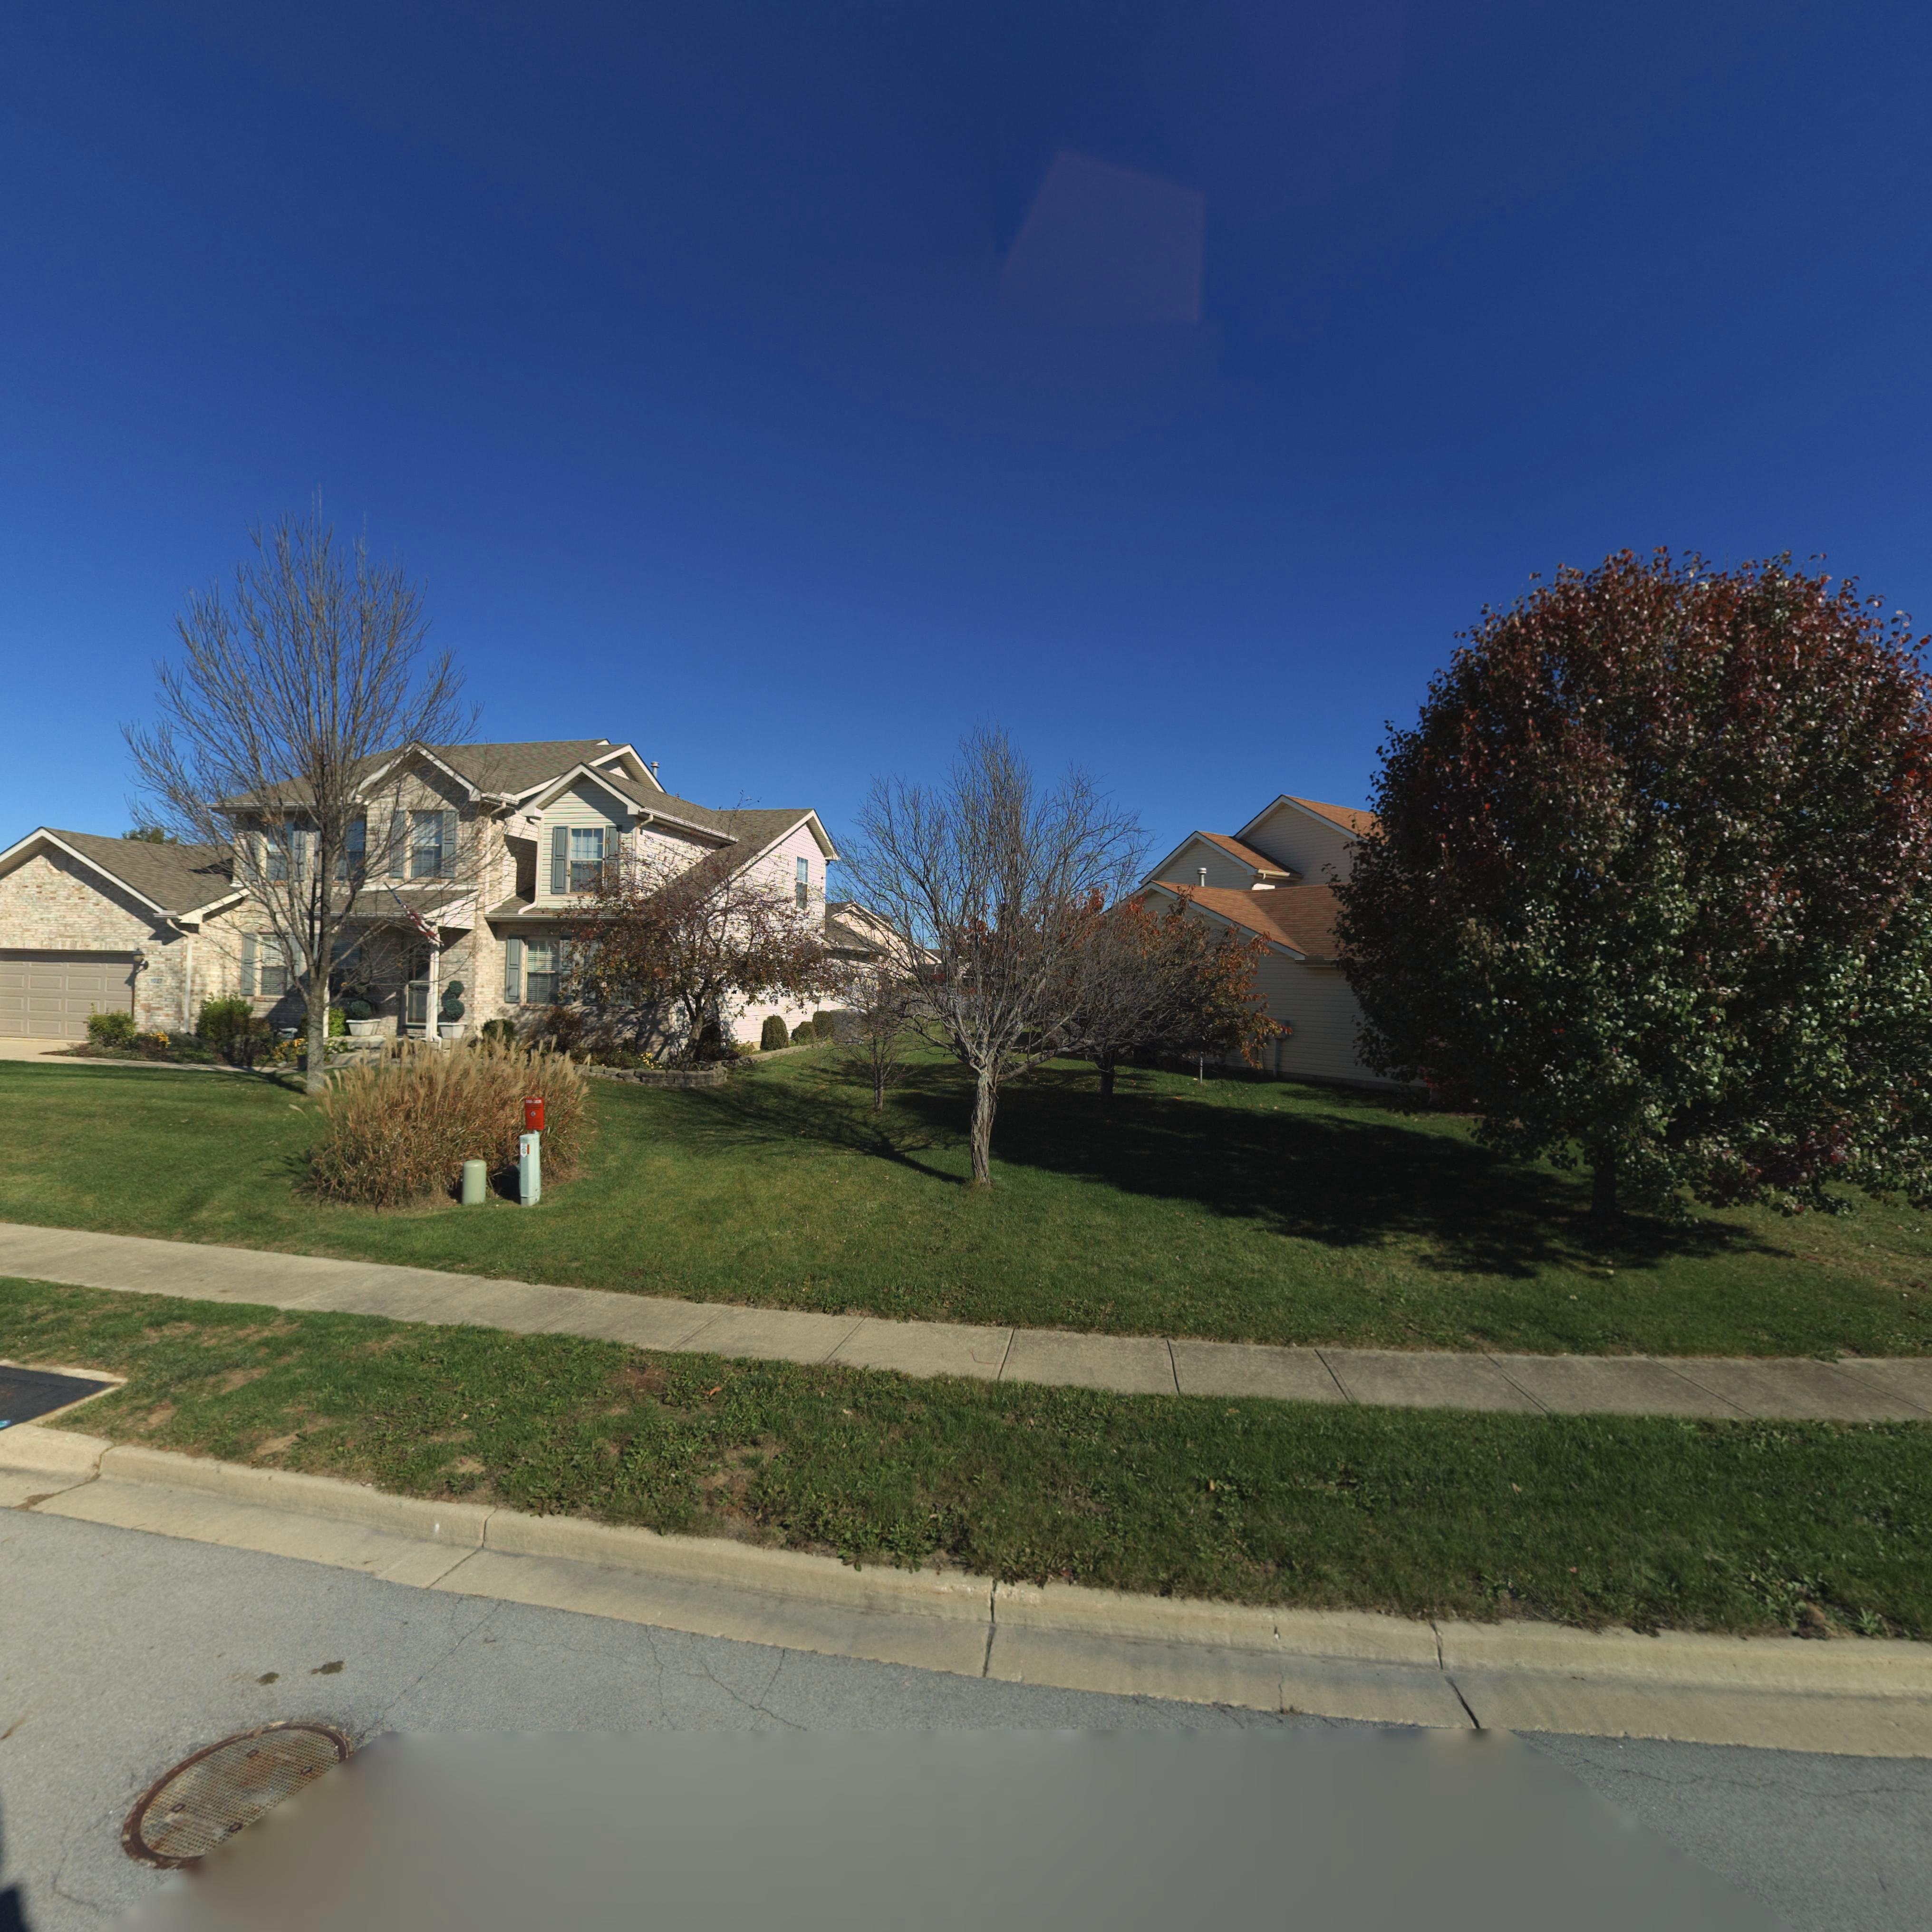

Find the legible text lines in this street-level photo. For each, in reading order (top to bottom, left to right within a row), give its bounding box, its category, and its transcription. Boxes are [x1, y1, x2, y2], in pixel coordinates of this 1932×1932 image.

[149, 977, 164, 985] StreetNumber: *0**